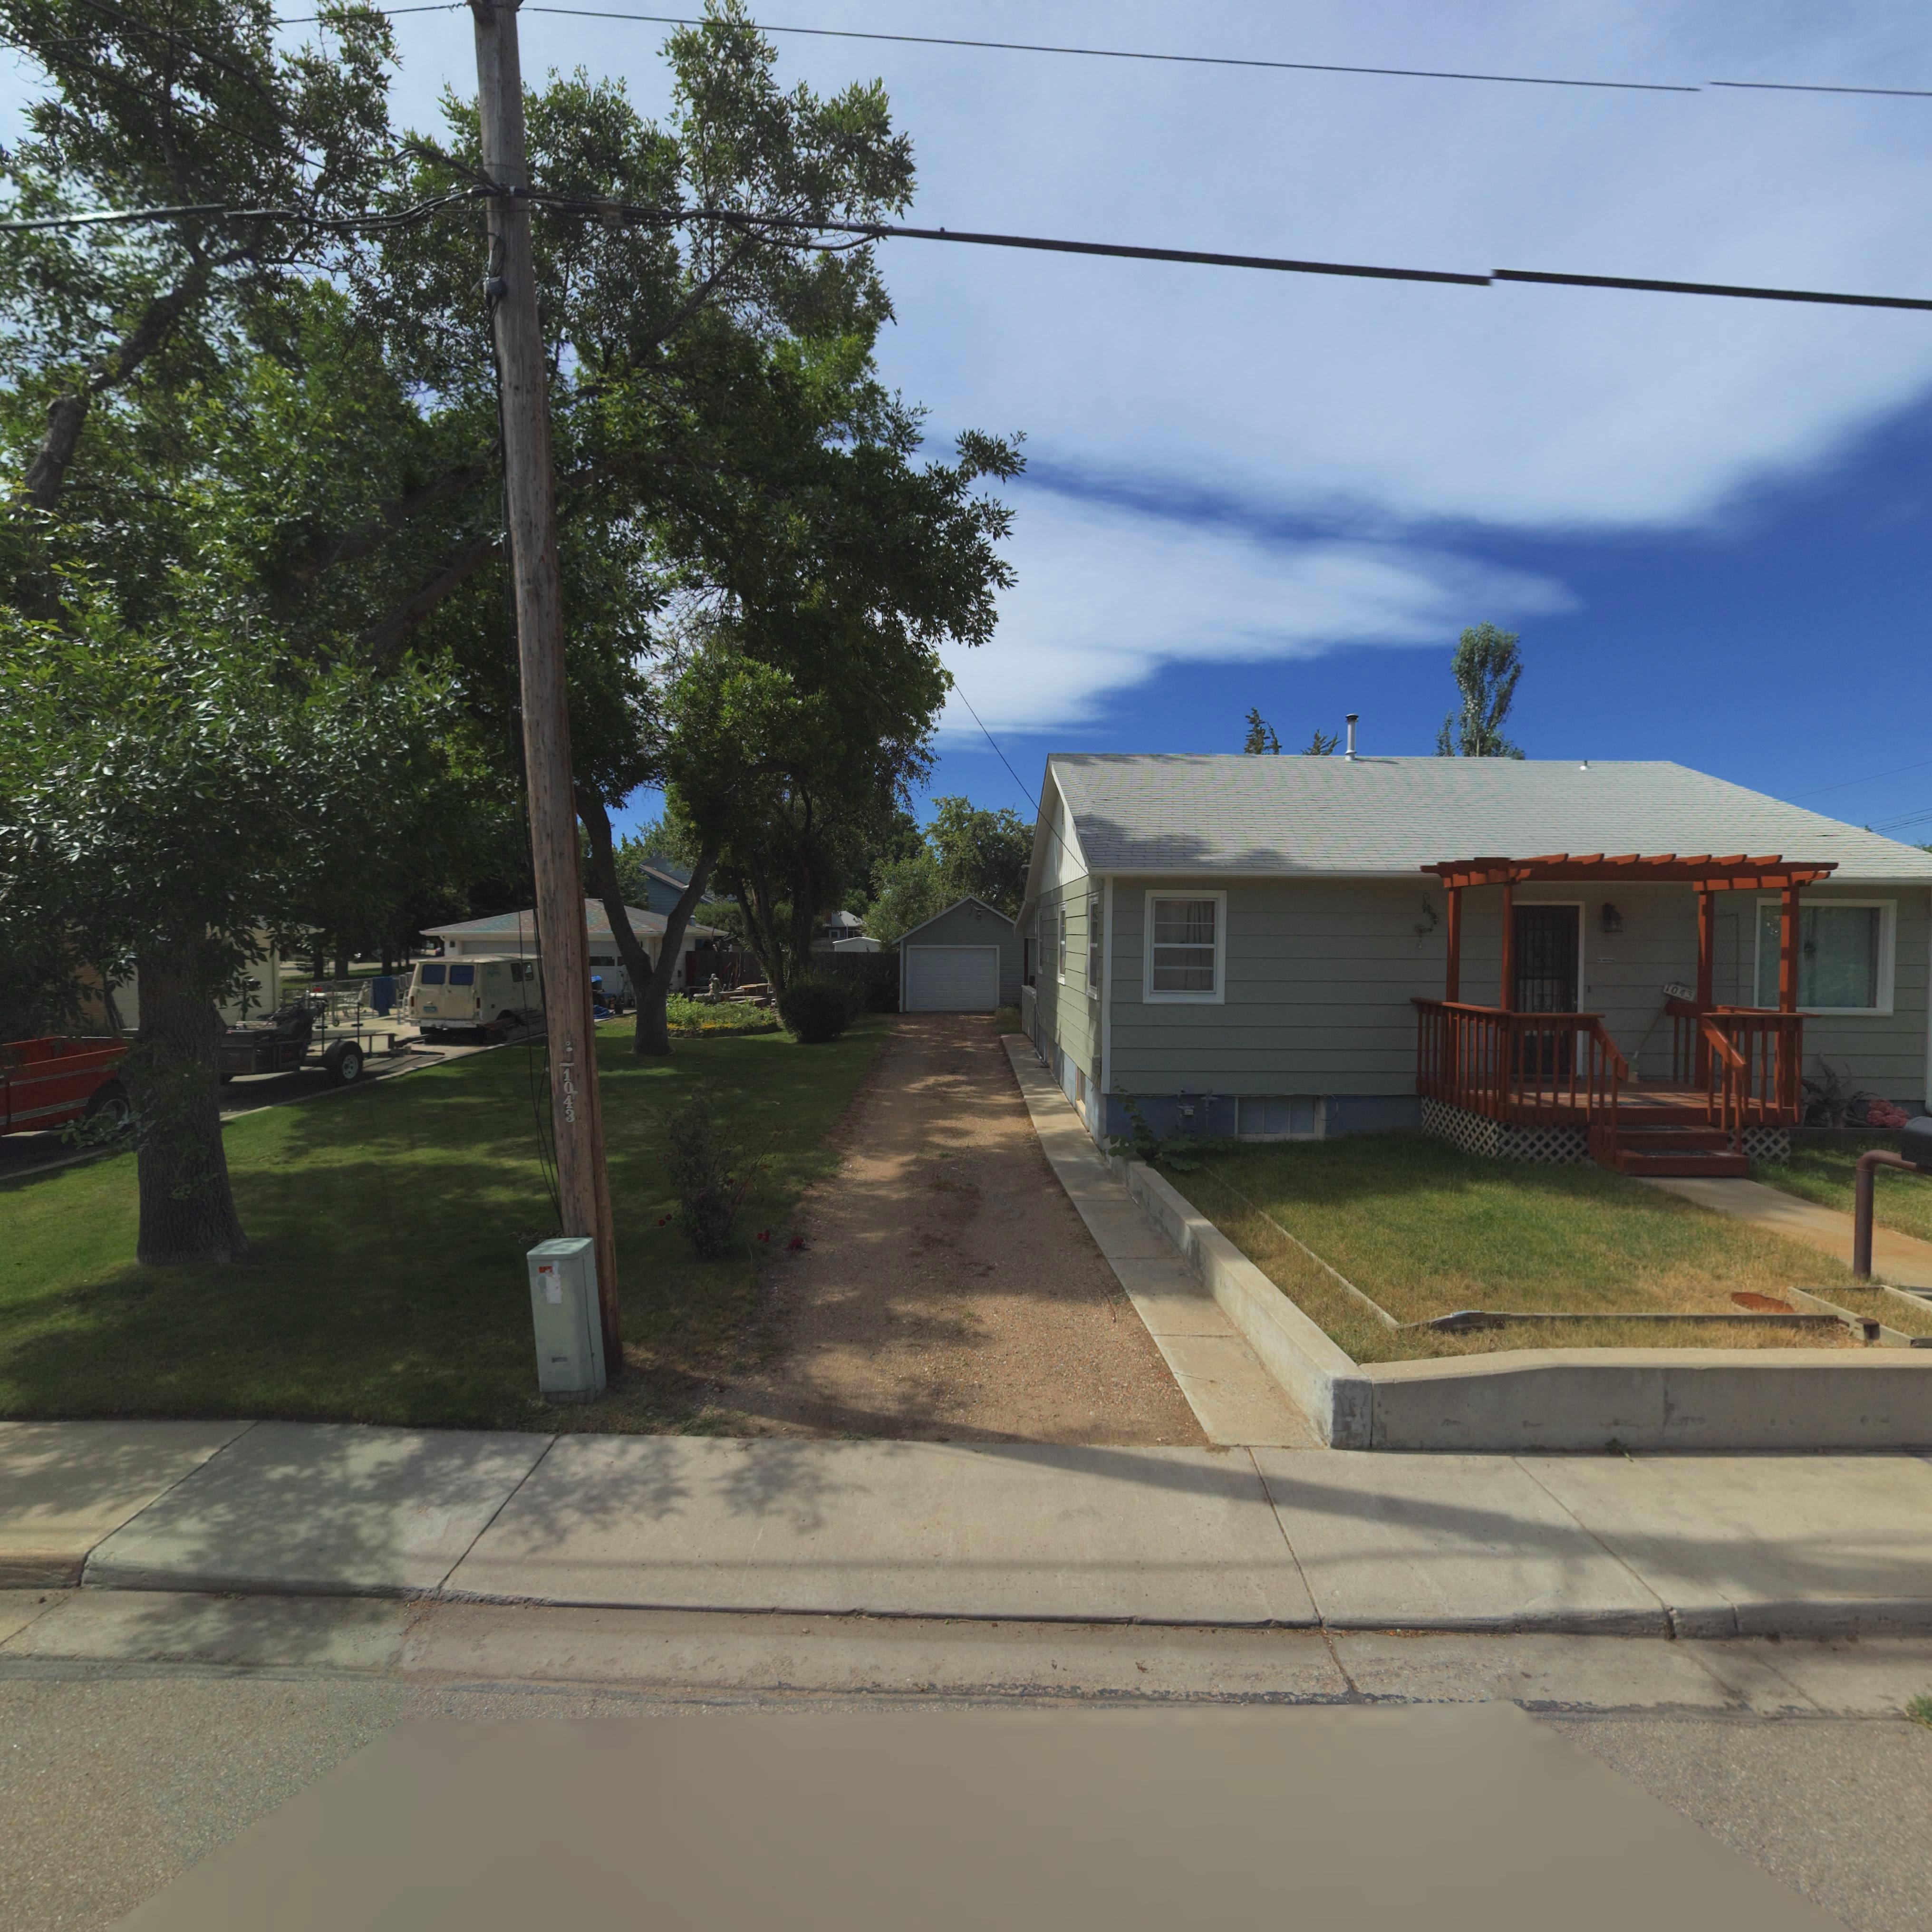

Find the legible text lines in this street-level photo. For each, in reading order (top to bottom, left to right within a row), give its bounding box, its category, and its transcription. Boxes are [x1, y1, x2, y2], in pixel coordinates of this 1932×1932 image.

[1665, 983, 1693, 999] StreetNumber: 1043
[562, 1066, 576, 1124] StreetNumber: 1043